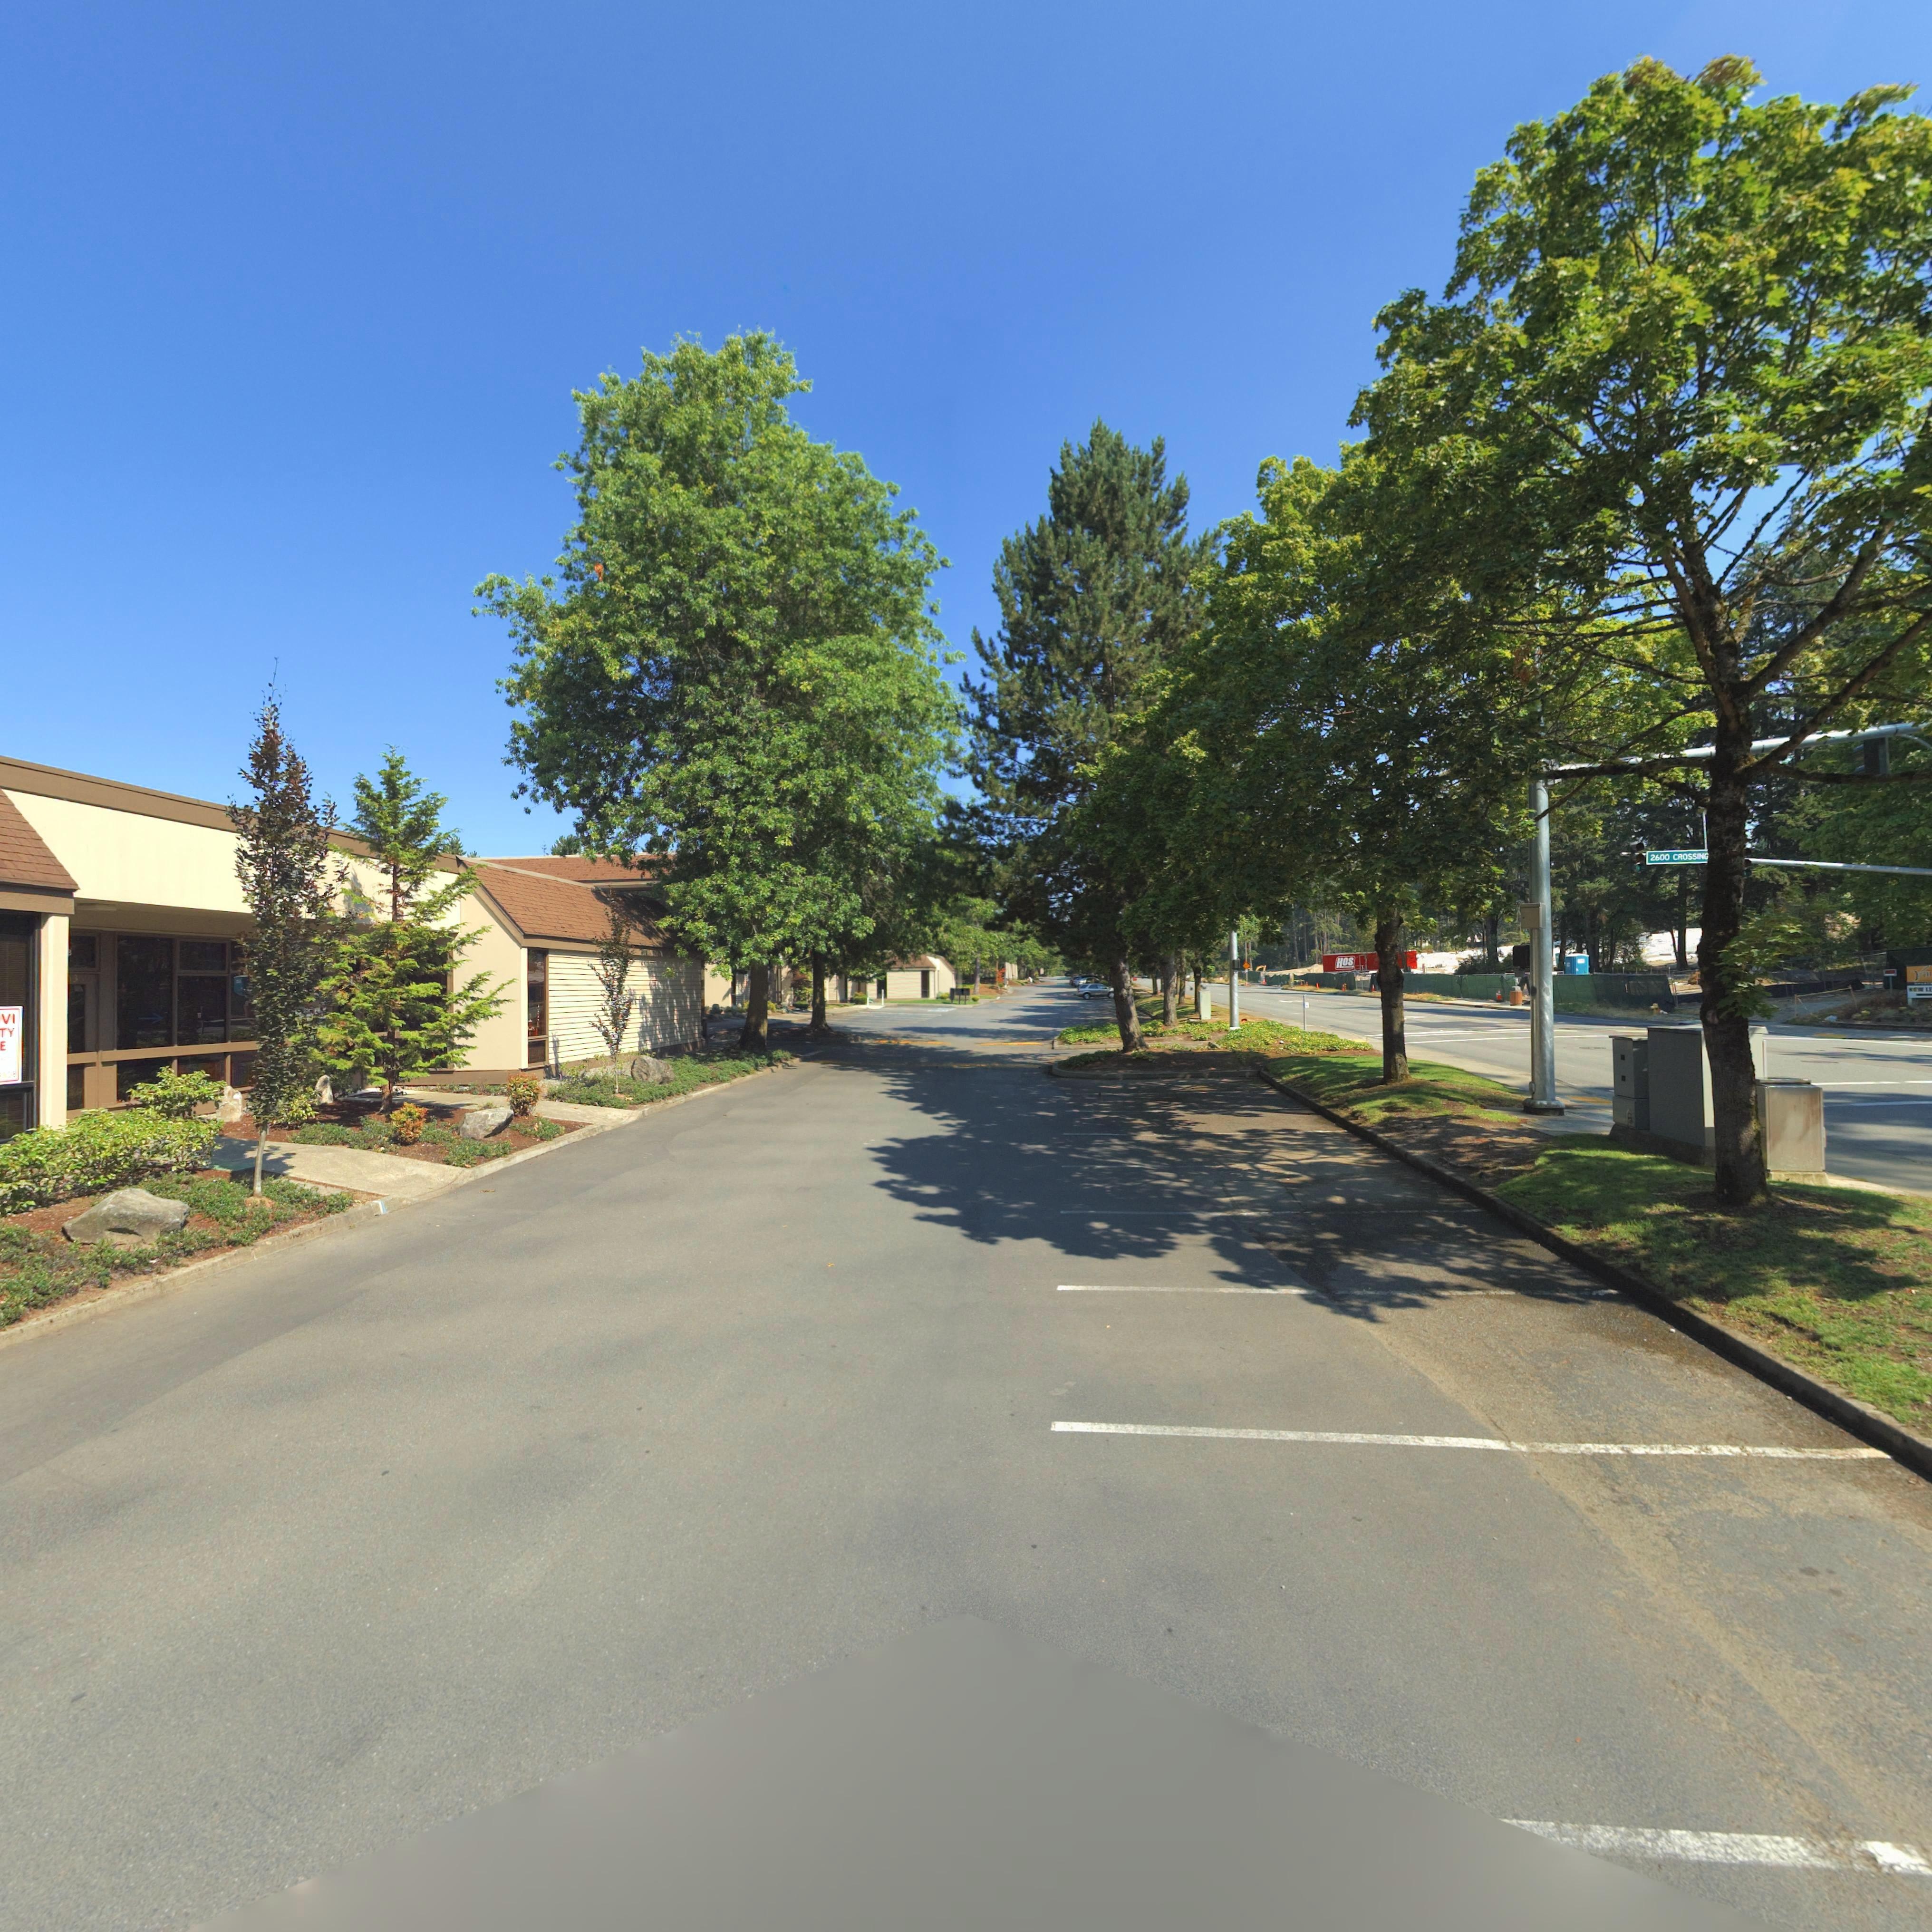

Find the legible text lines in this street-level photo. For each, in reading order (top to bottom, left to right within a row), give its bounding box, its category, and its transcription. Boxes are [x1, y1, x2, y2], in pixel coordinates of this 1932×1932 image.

[1650, 852, 1709, 861] StreetName: 2600 CROSSING